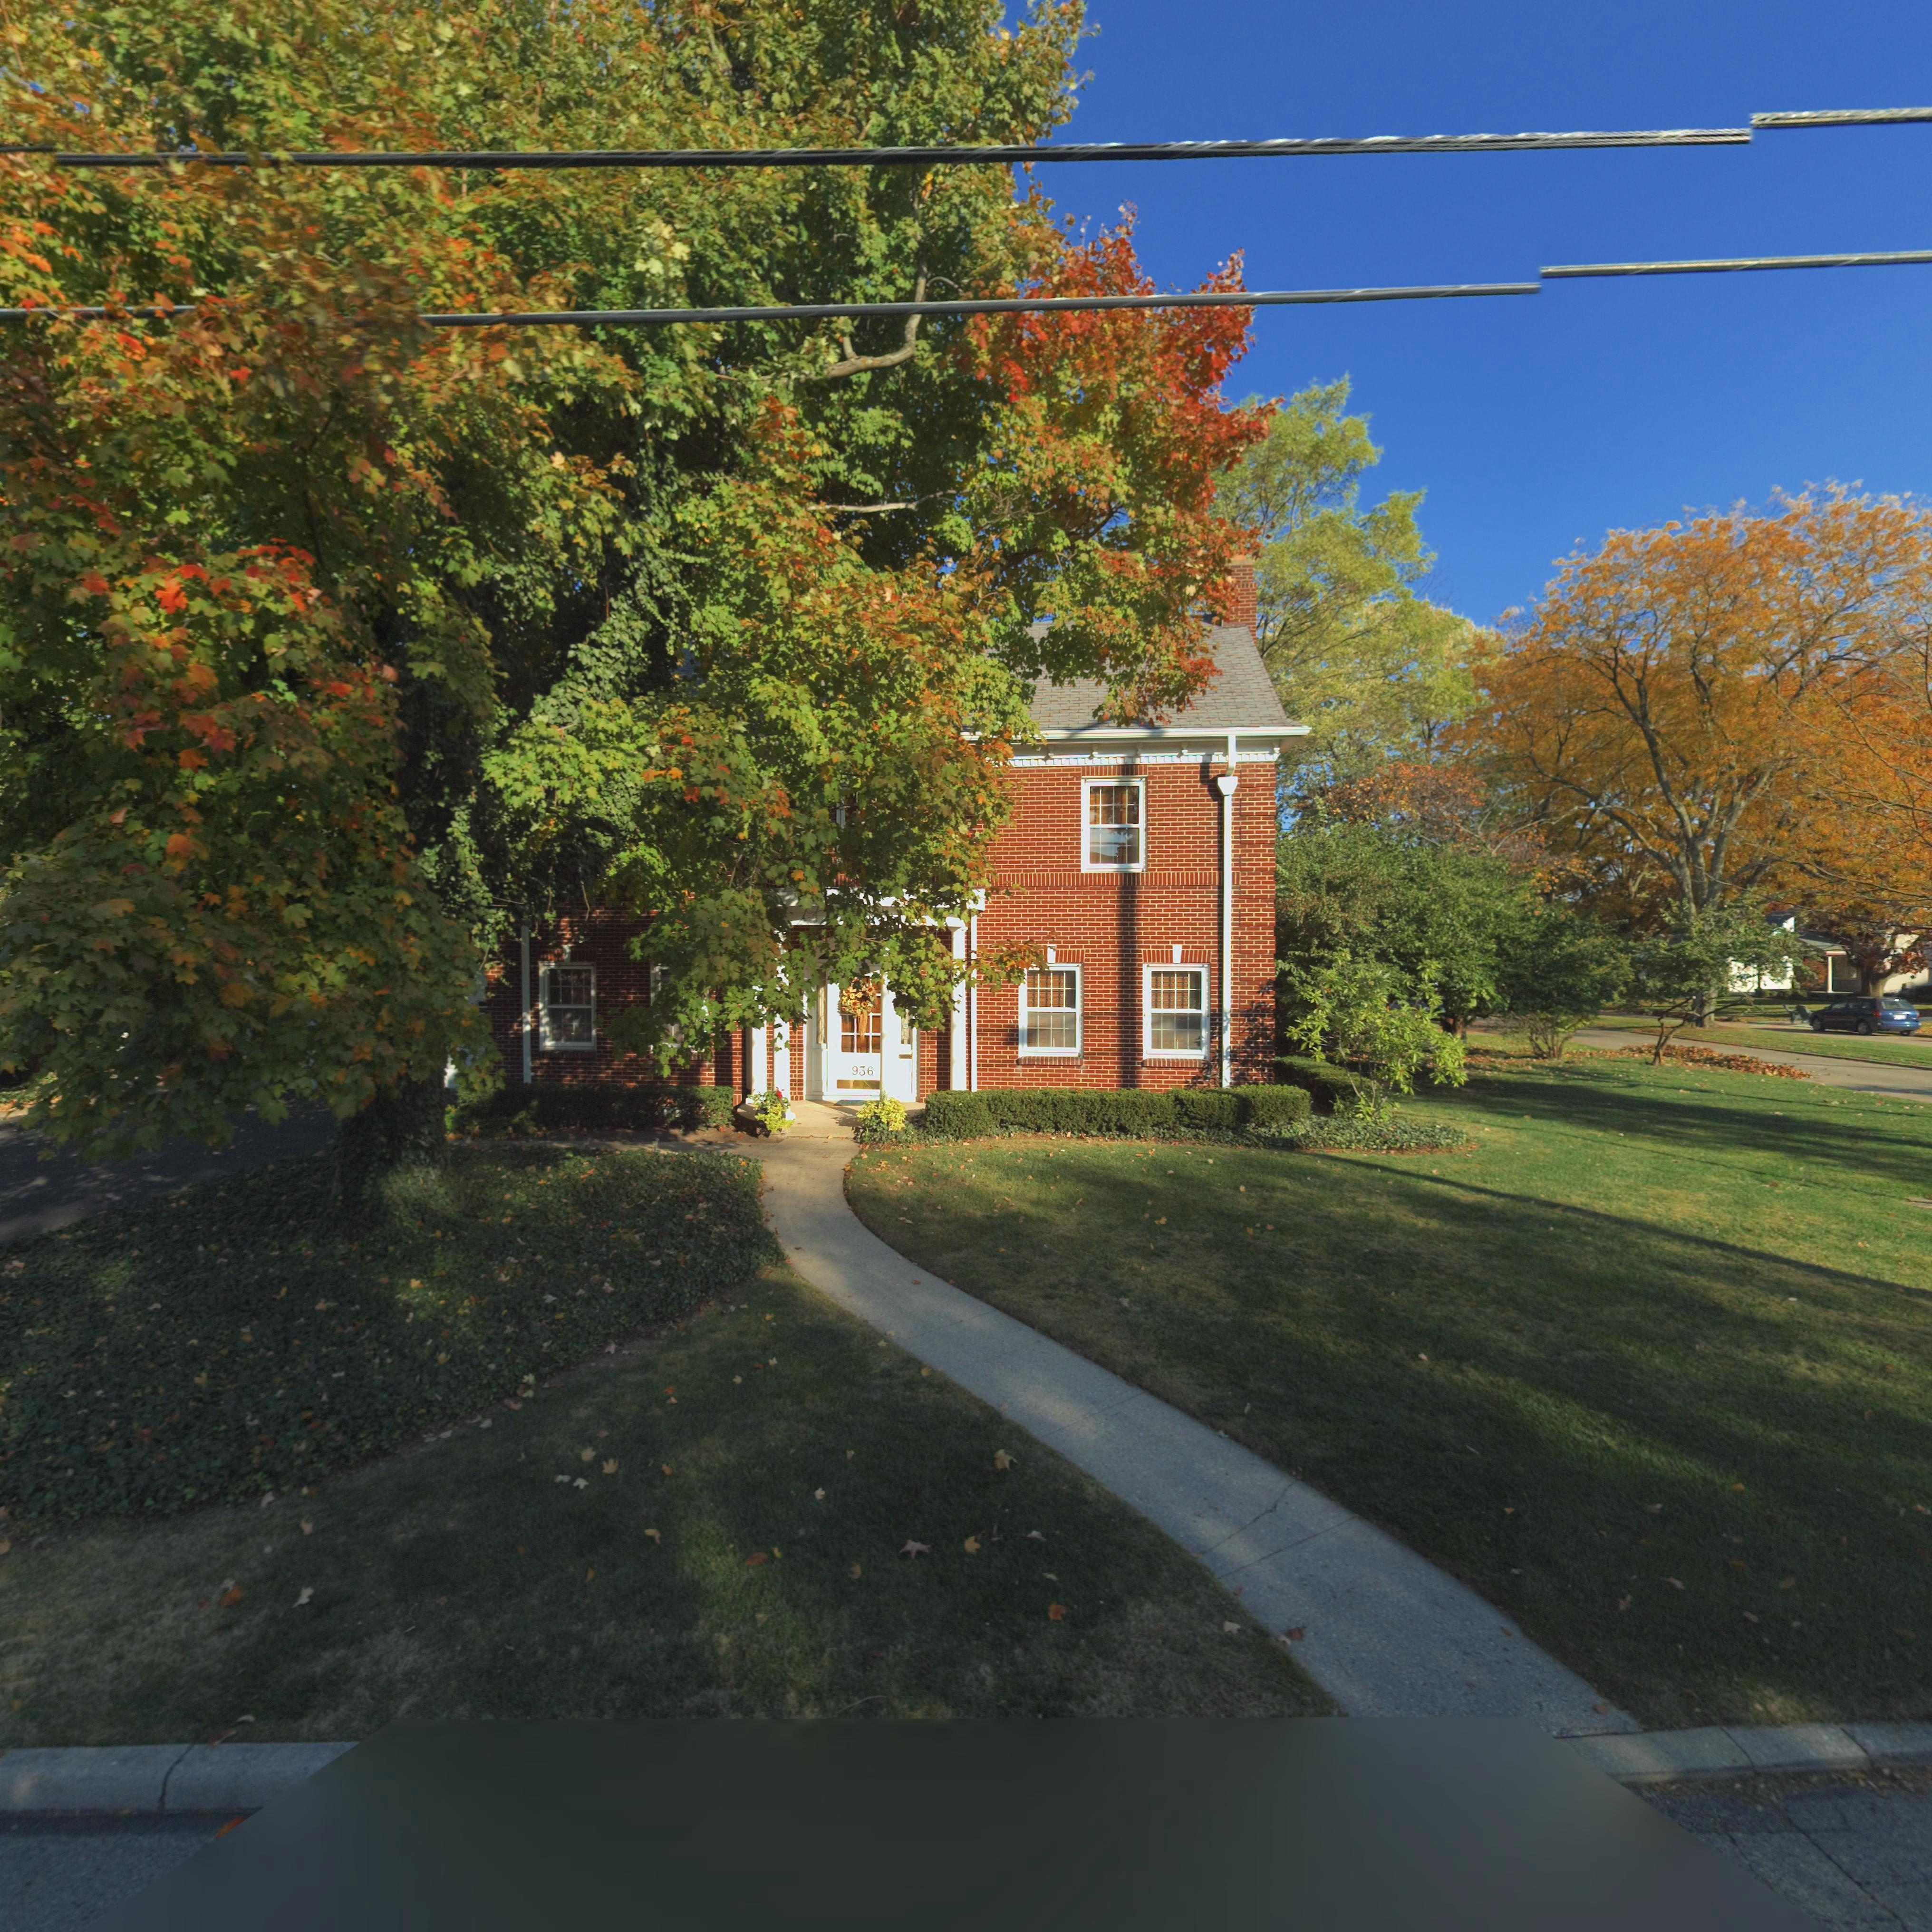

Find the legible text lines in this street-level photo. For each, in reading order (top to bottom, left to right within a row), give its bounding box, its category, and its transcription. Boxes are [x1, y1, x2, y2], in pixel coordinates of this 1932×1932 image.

[851, 1065, 874, 1076] StreetNumber: 936